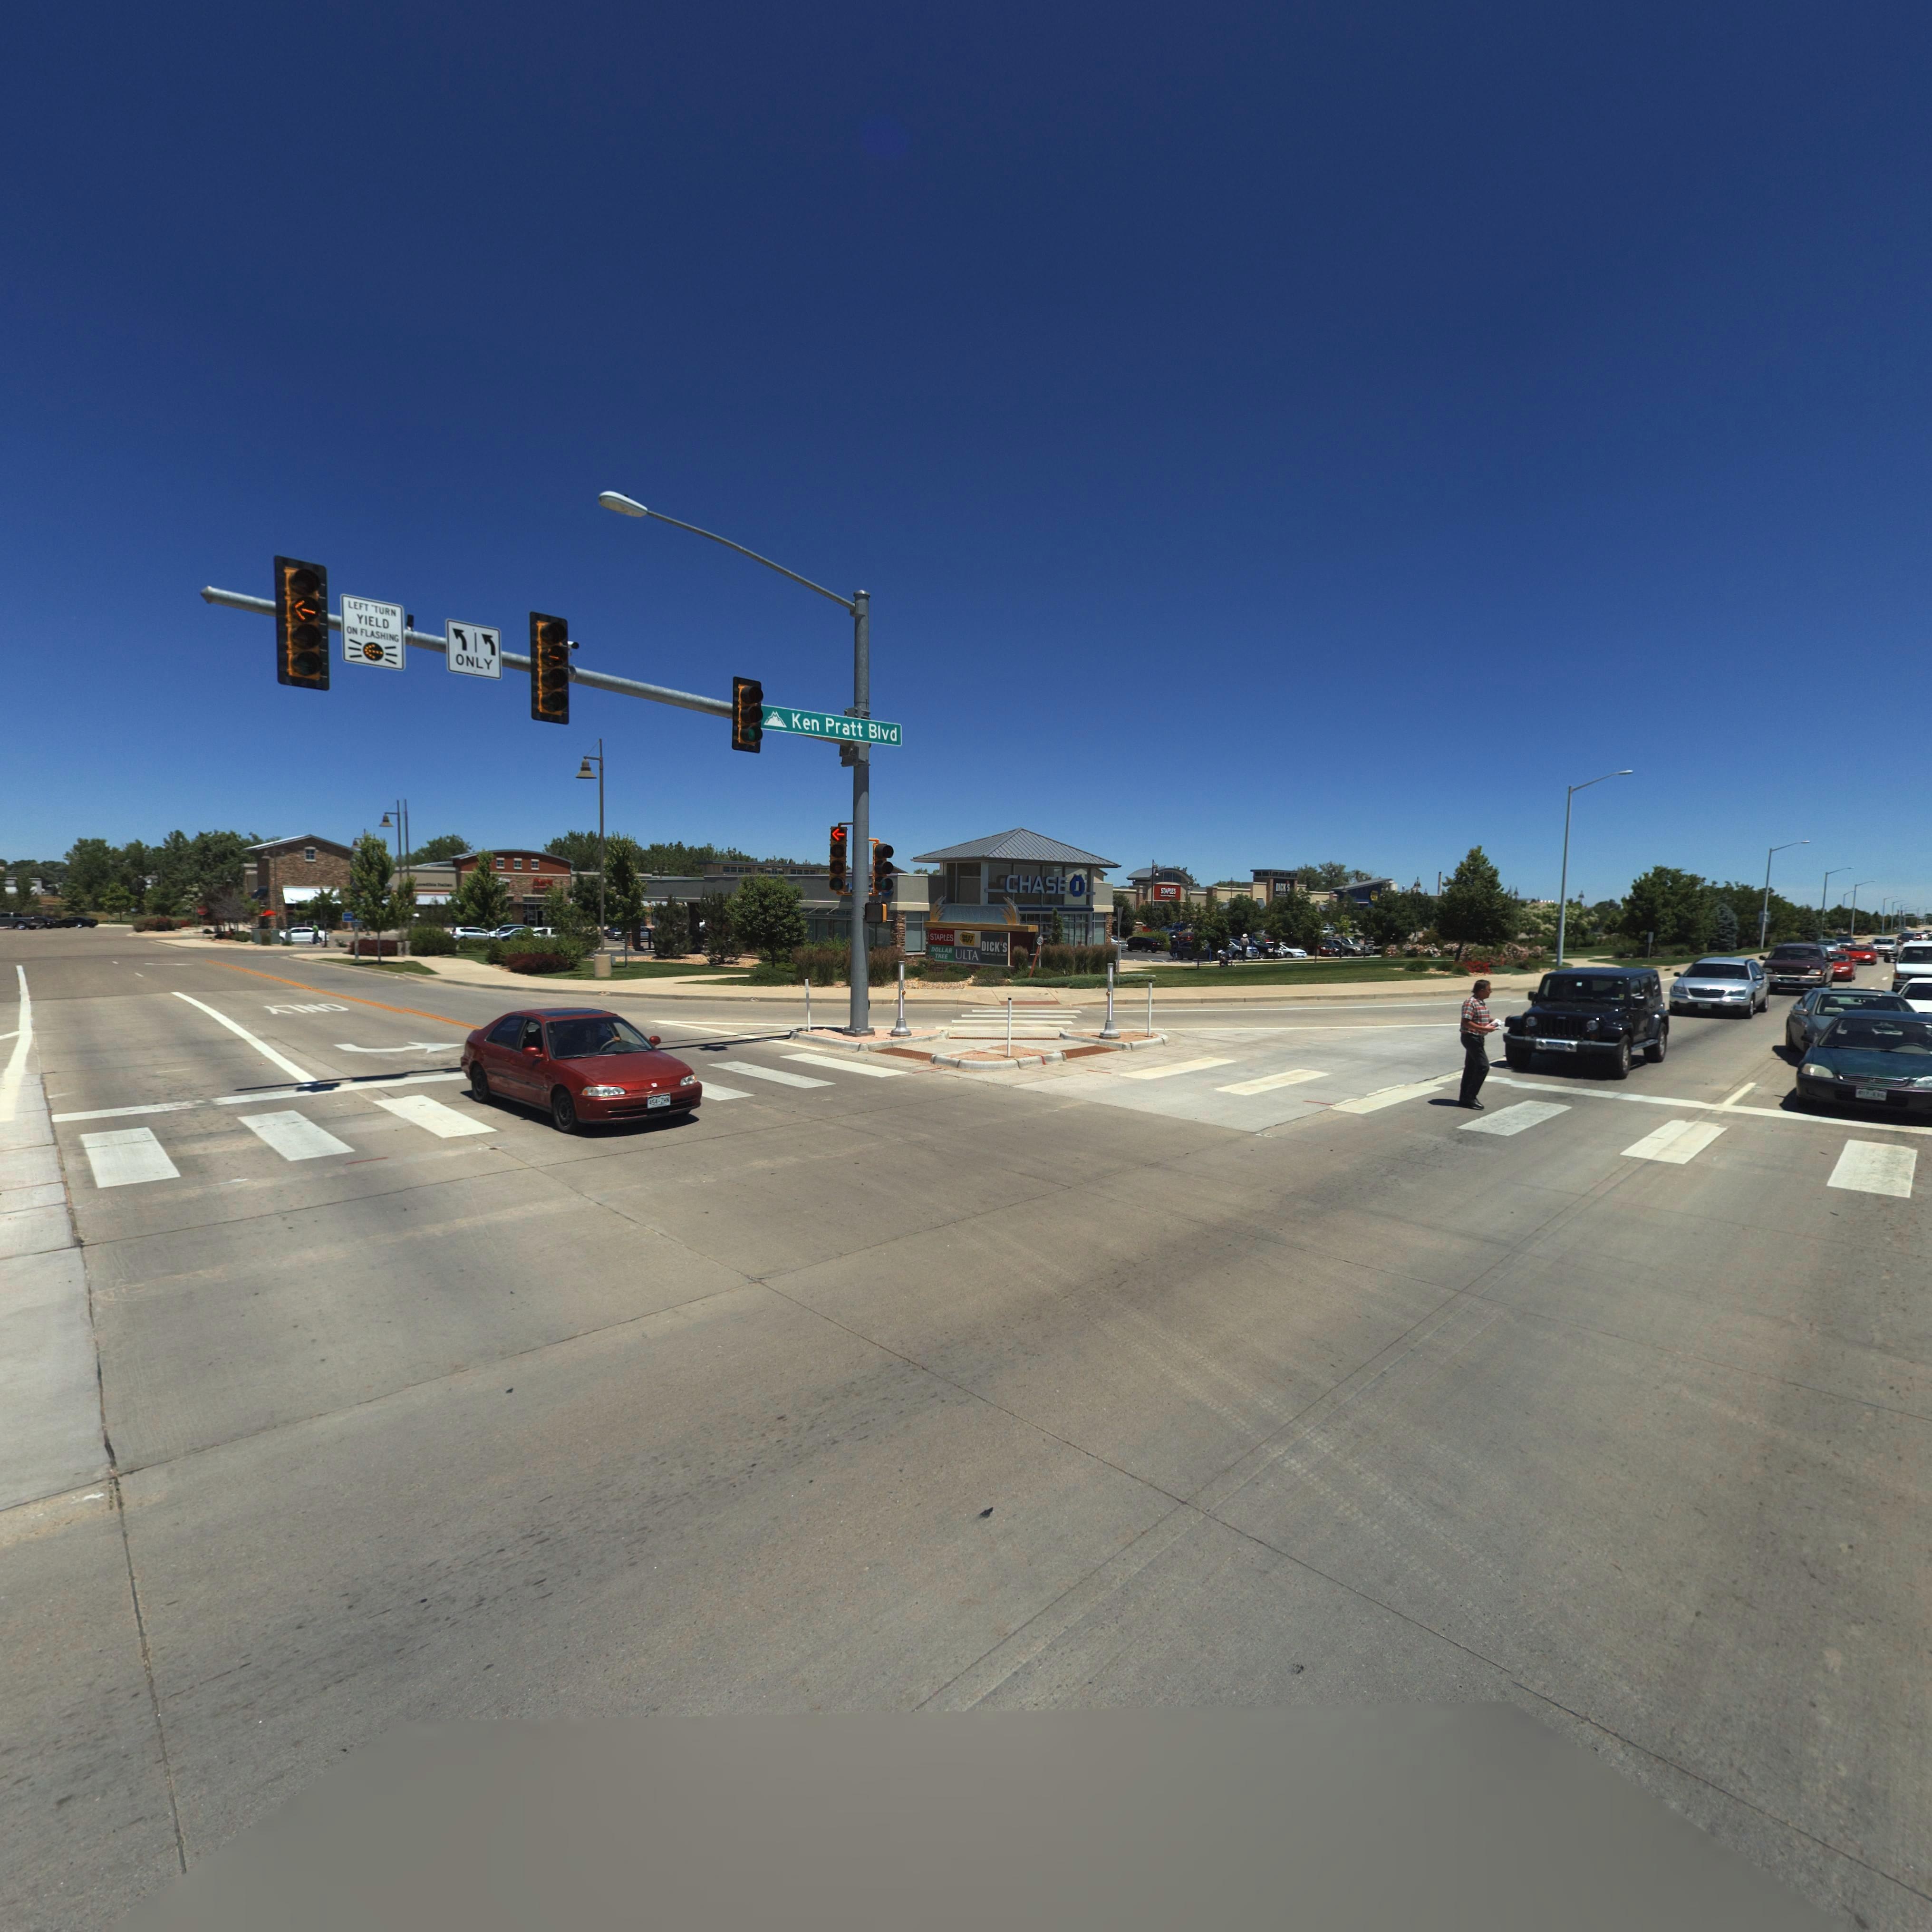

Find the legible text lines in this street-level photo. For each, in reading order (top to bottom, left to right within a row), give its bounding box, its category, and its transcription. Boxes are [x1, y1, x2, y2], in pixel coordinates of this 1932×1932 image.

[791, 711, 898, 743] StreetName: Ken Pratt Blvd
[1005, 874, 1066, 894] BusinessName: CHASE
[1275, 882, 1291, 891] BusinessName: DICK*S
[1160, 888, 1176, 894] BusinessName: STAPLES
[1372, 895, 1377, 899] BusinessName: B**
[1371, 892, 1378, 896] BusinessName: ***T
[947, 907, 997, 918] BusinessName: HARVEST
[948, 917, 996, 922] BusinessName: ***C****
[929, 933, 954, 941] BusinessName: STAPLES
[962, 938, 972, 943] BusinessName: BUY
[962, 934, 974, 939] BusinessName: BEST
[930, 946, 953, 953] BusinessName: DOLLAR
[981, 940, 1008, 953] BusinessName: DICK*S
[935, 953, 948, 959] BusinessName: TREE
[955, 948, 979, 961] BusinessName: ULTA
[980, 952, 1007, 956] BusinessName: *P**T*N* GOO*S